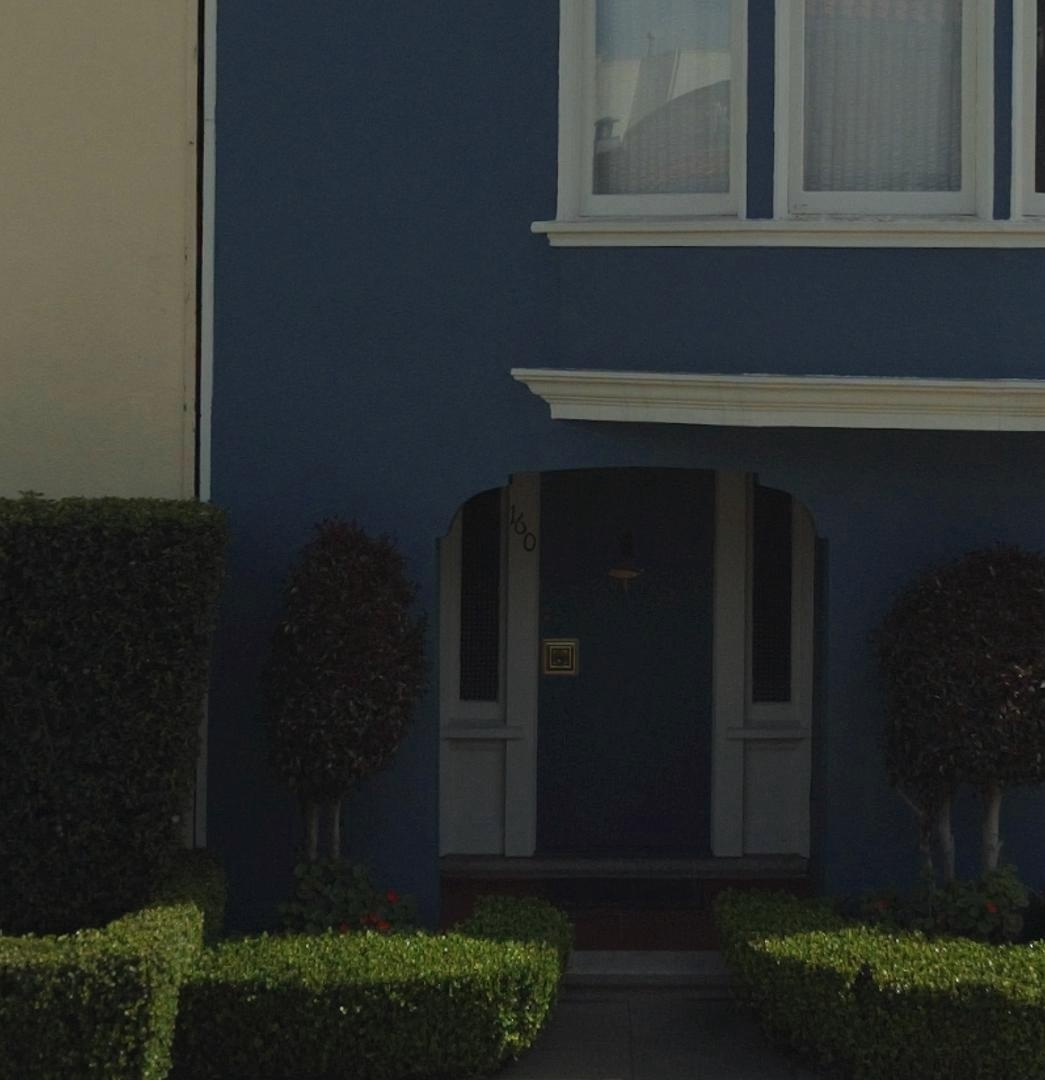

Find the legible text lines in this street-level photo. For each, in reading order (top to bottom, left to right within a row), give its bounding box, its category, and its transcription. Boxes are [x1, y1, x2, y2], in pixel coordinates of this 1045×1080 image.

[507, 501, 538, 555] StreetNumber: 160